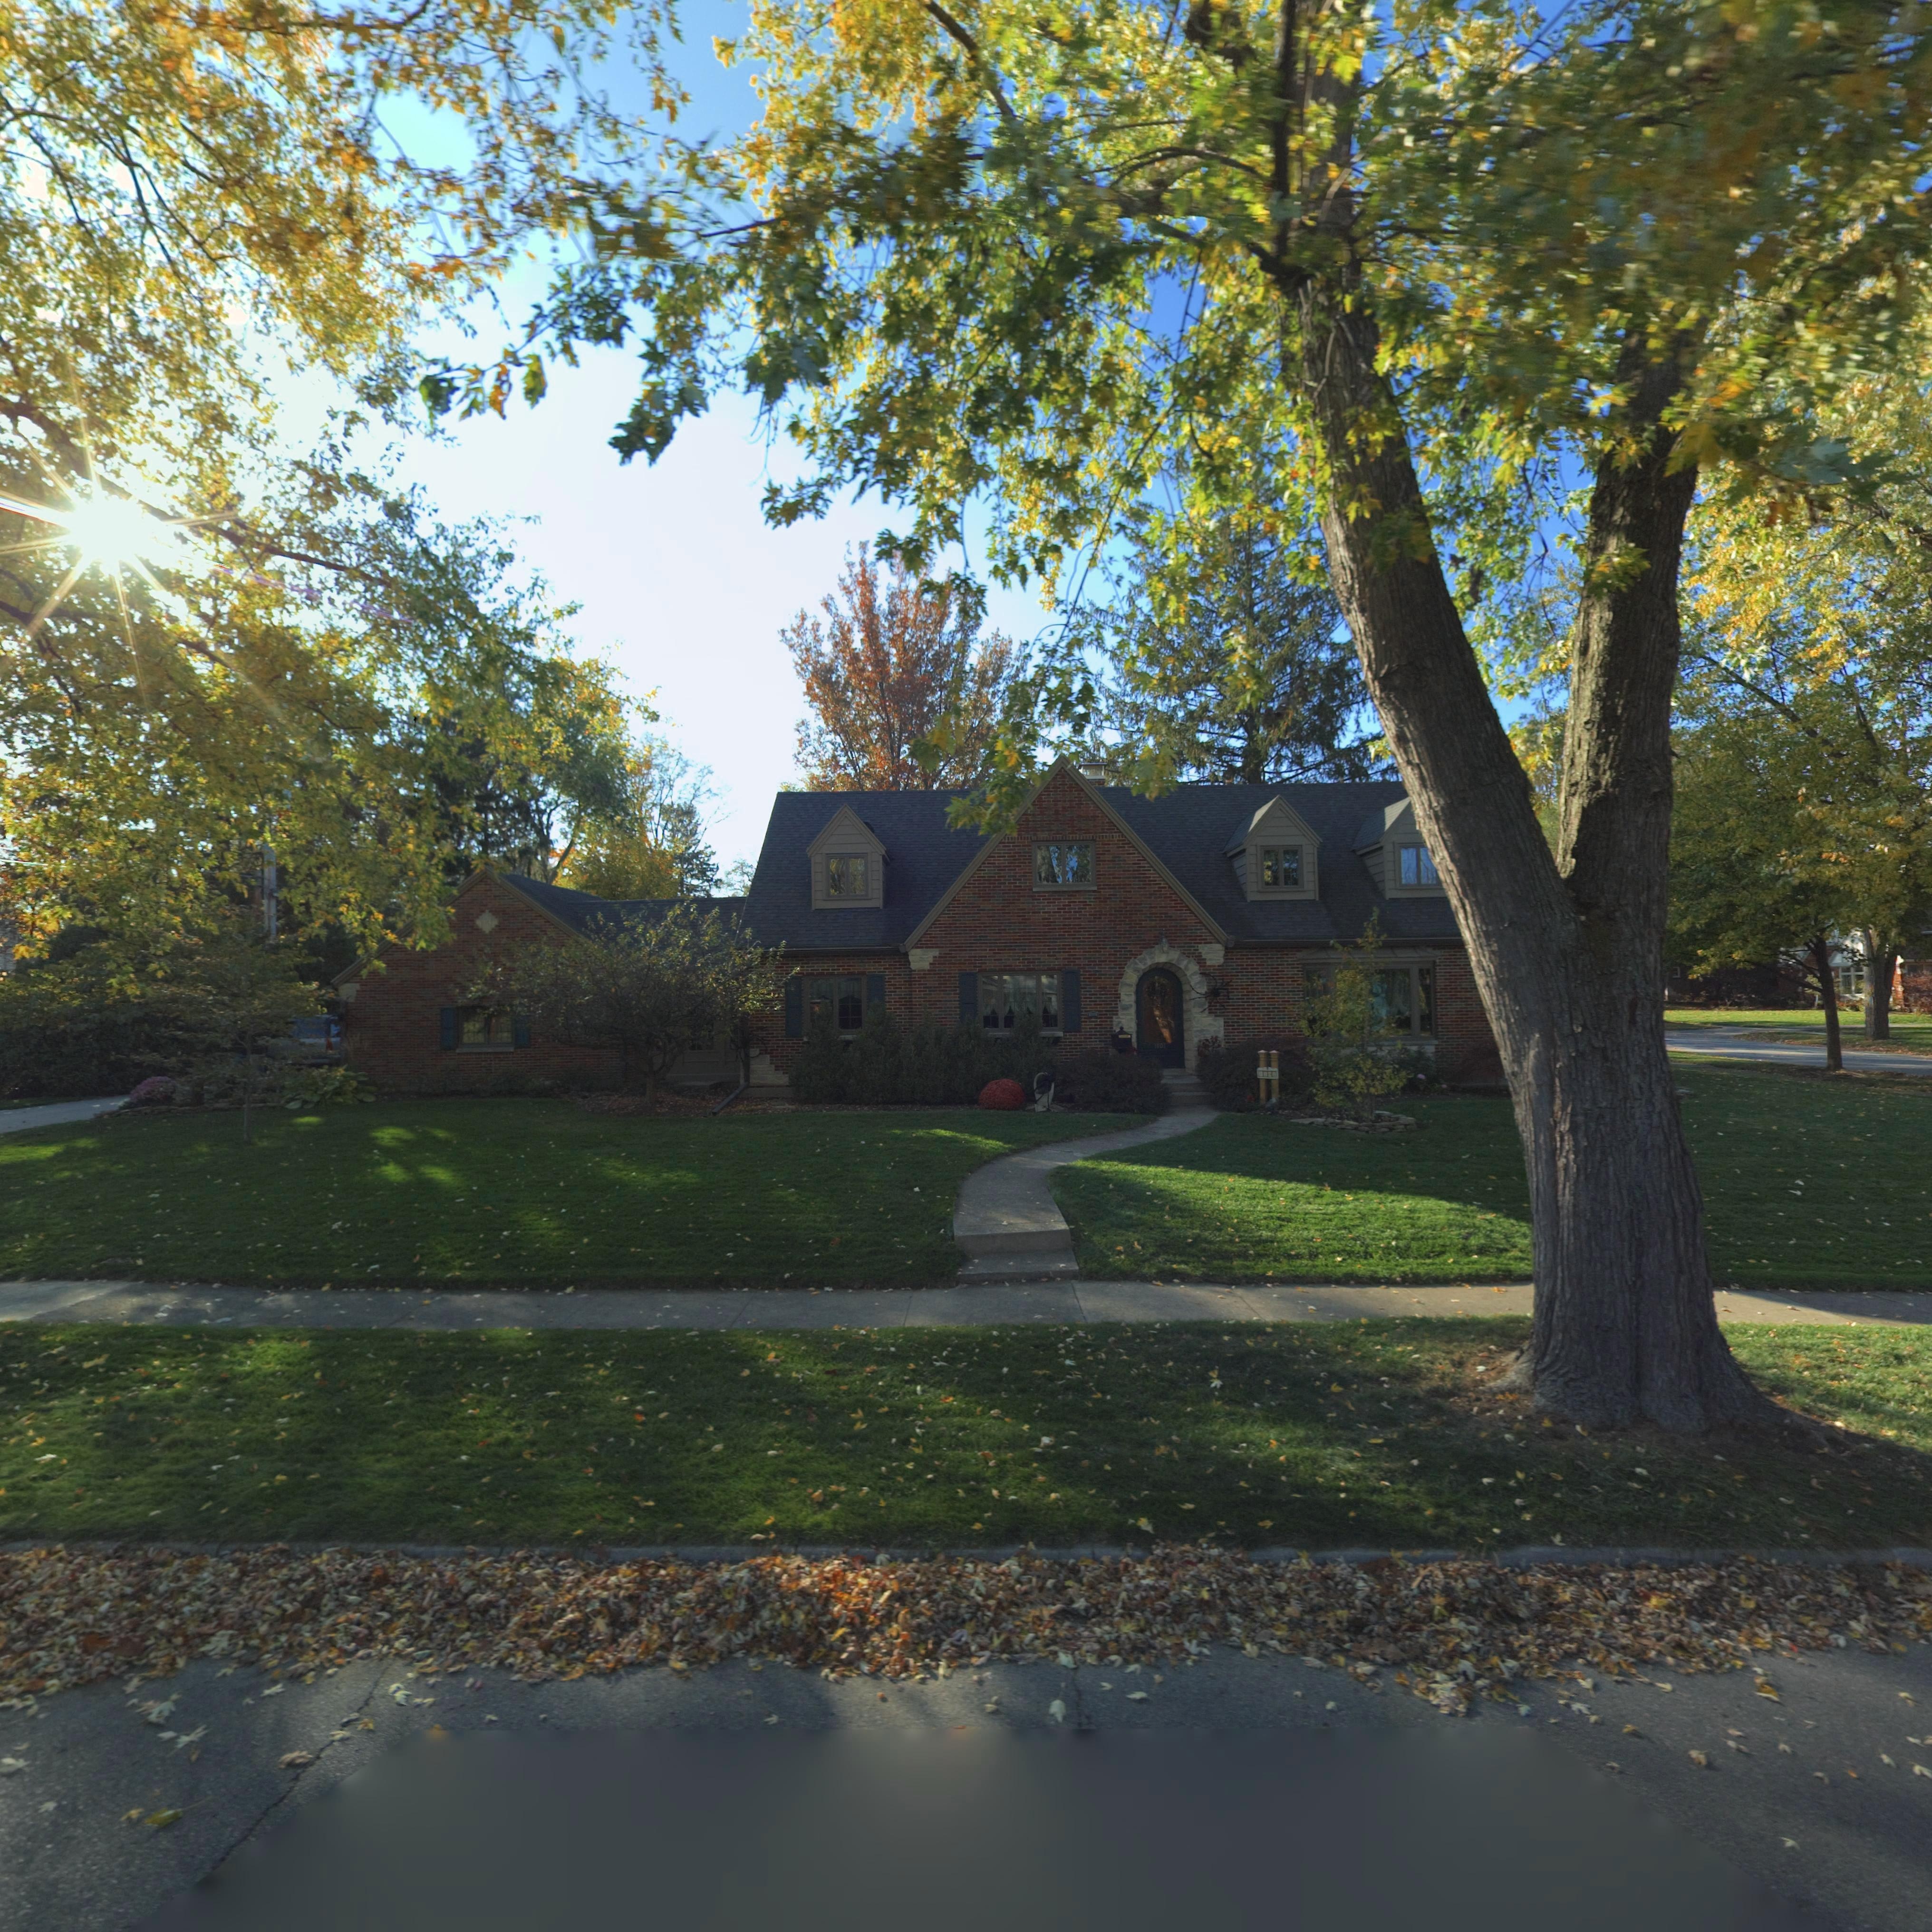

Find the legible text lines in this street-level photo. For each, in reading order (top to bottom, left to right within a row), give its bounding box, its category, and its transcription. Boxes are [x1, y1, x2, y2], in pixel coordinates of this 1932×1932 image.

[1154, 1043, 1166, 1049] StreetNumber: 1101